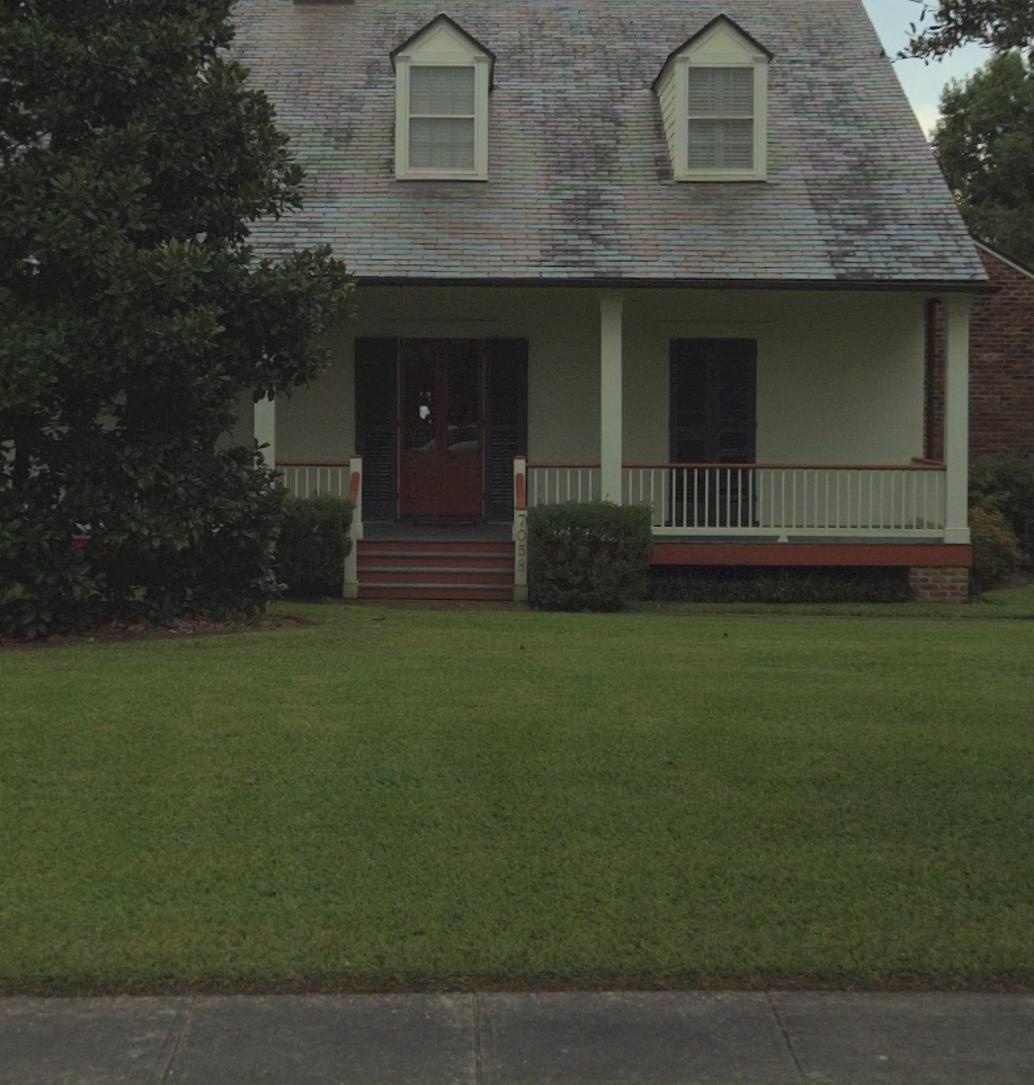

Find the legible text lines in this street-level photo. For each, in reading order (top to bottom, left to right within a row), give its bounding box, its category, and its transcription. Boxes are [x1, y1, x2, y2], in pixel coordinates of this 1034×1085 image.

[515, 511, 527, 572] StreetNumber: 7058